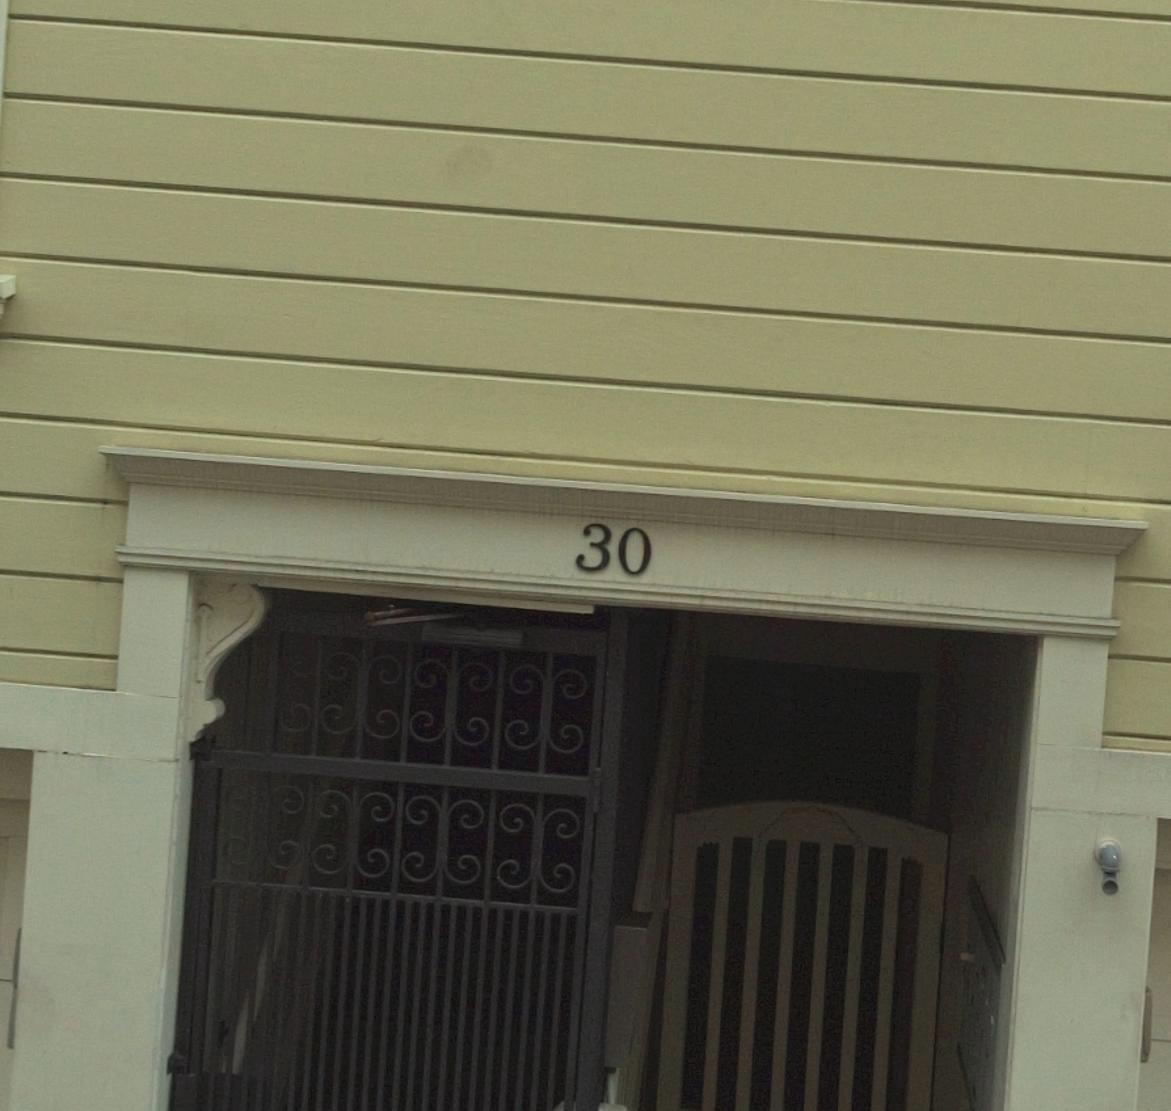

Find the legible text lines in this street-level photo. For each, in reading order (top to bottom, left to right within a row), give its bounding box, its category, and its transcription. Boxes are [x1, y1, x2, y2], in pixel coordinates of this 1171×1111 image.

[570, 519, 658, 583] StreetNumber: 30